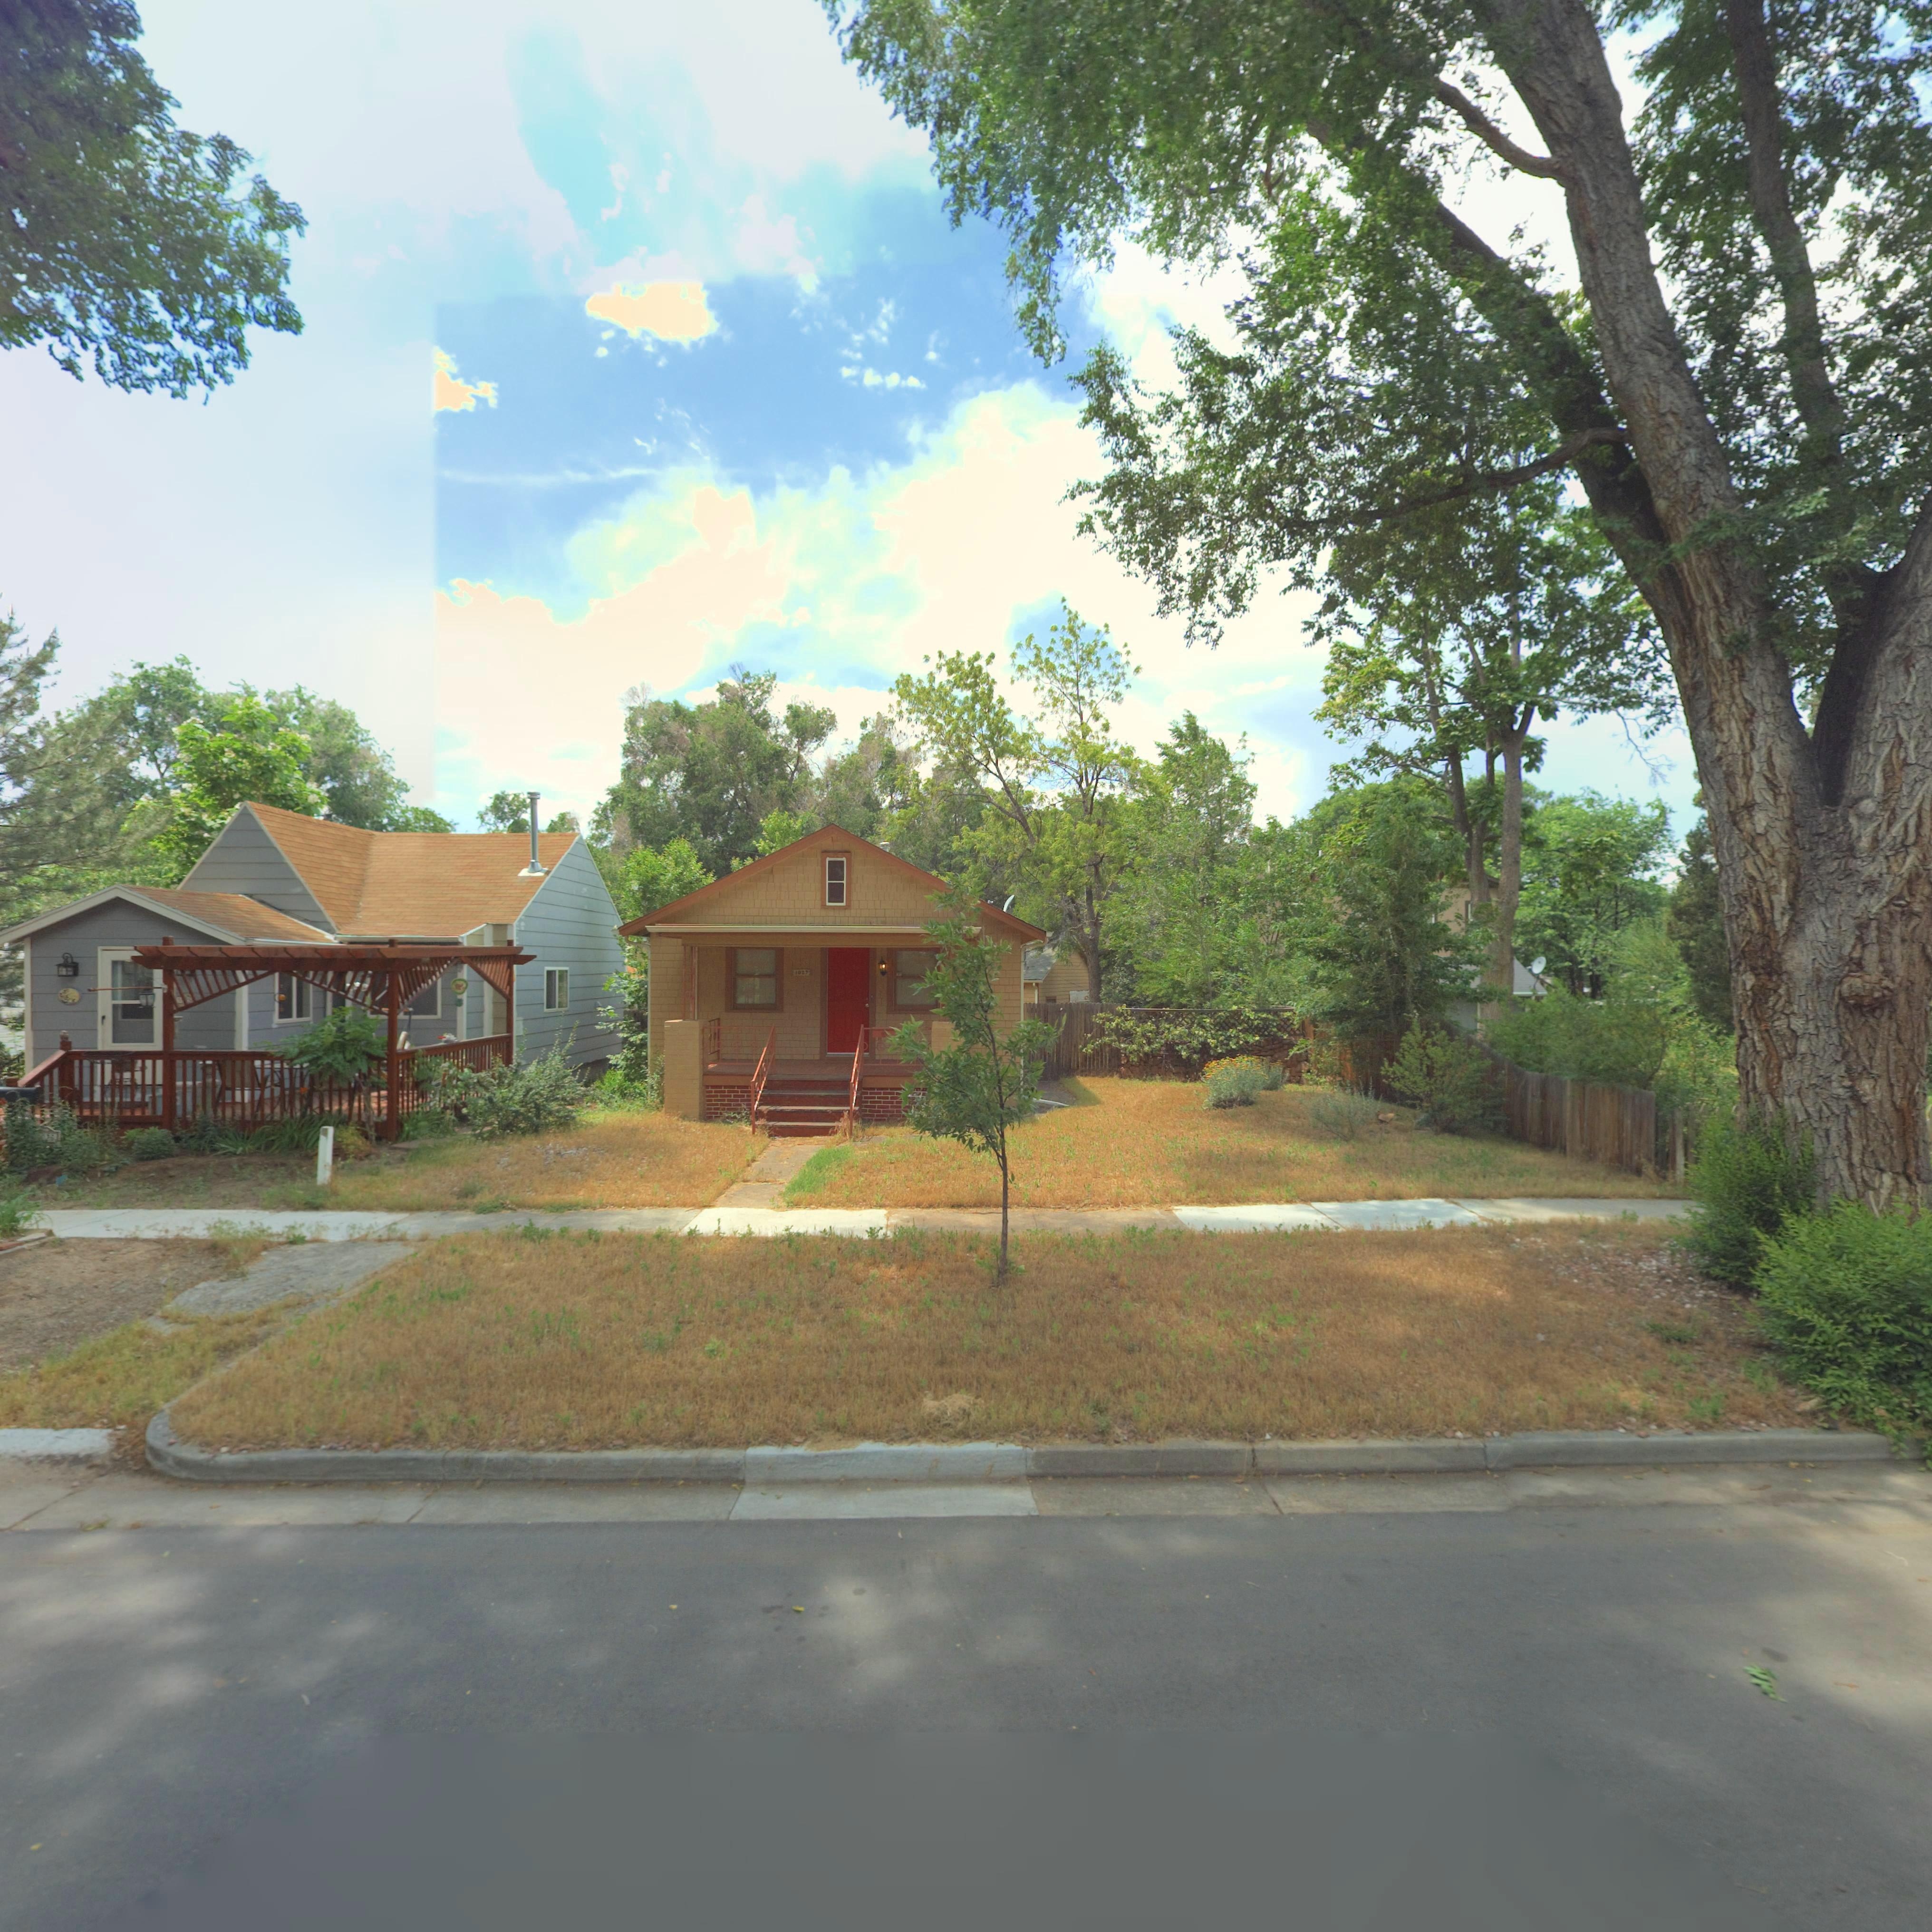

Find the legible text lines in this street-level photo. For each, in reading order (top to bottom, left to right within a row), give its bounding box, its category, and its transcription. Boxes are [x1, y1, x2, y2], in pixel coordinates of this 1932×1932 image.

[794, 969, 808, 975] StreetNumber: 1027